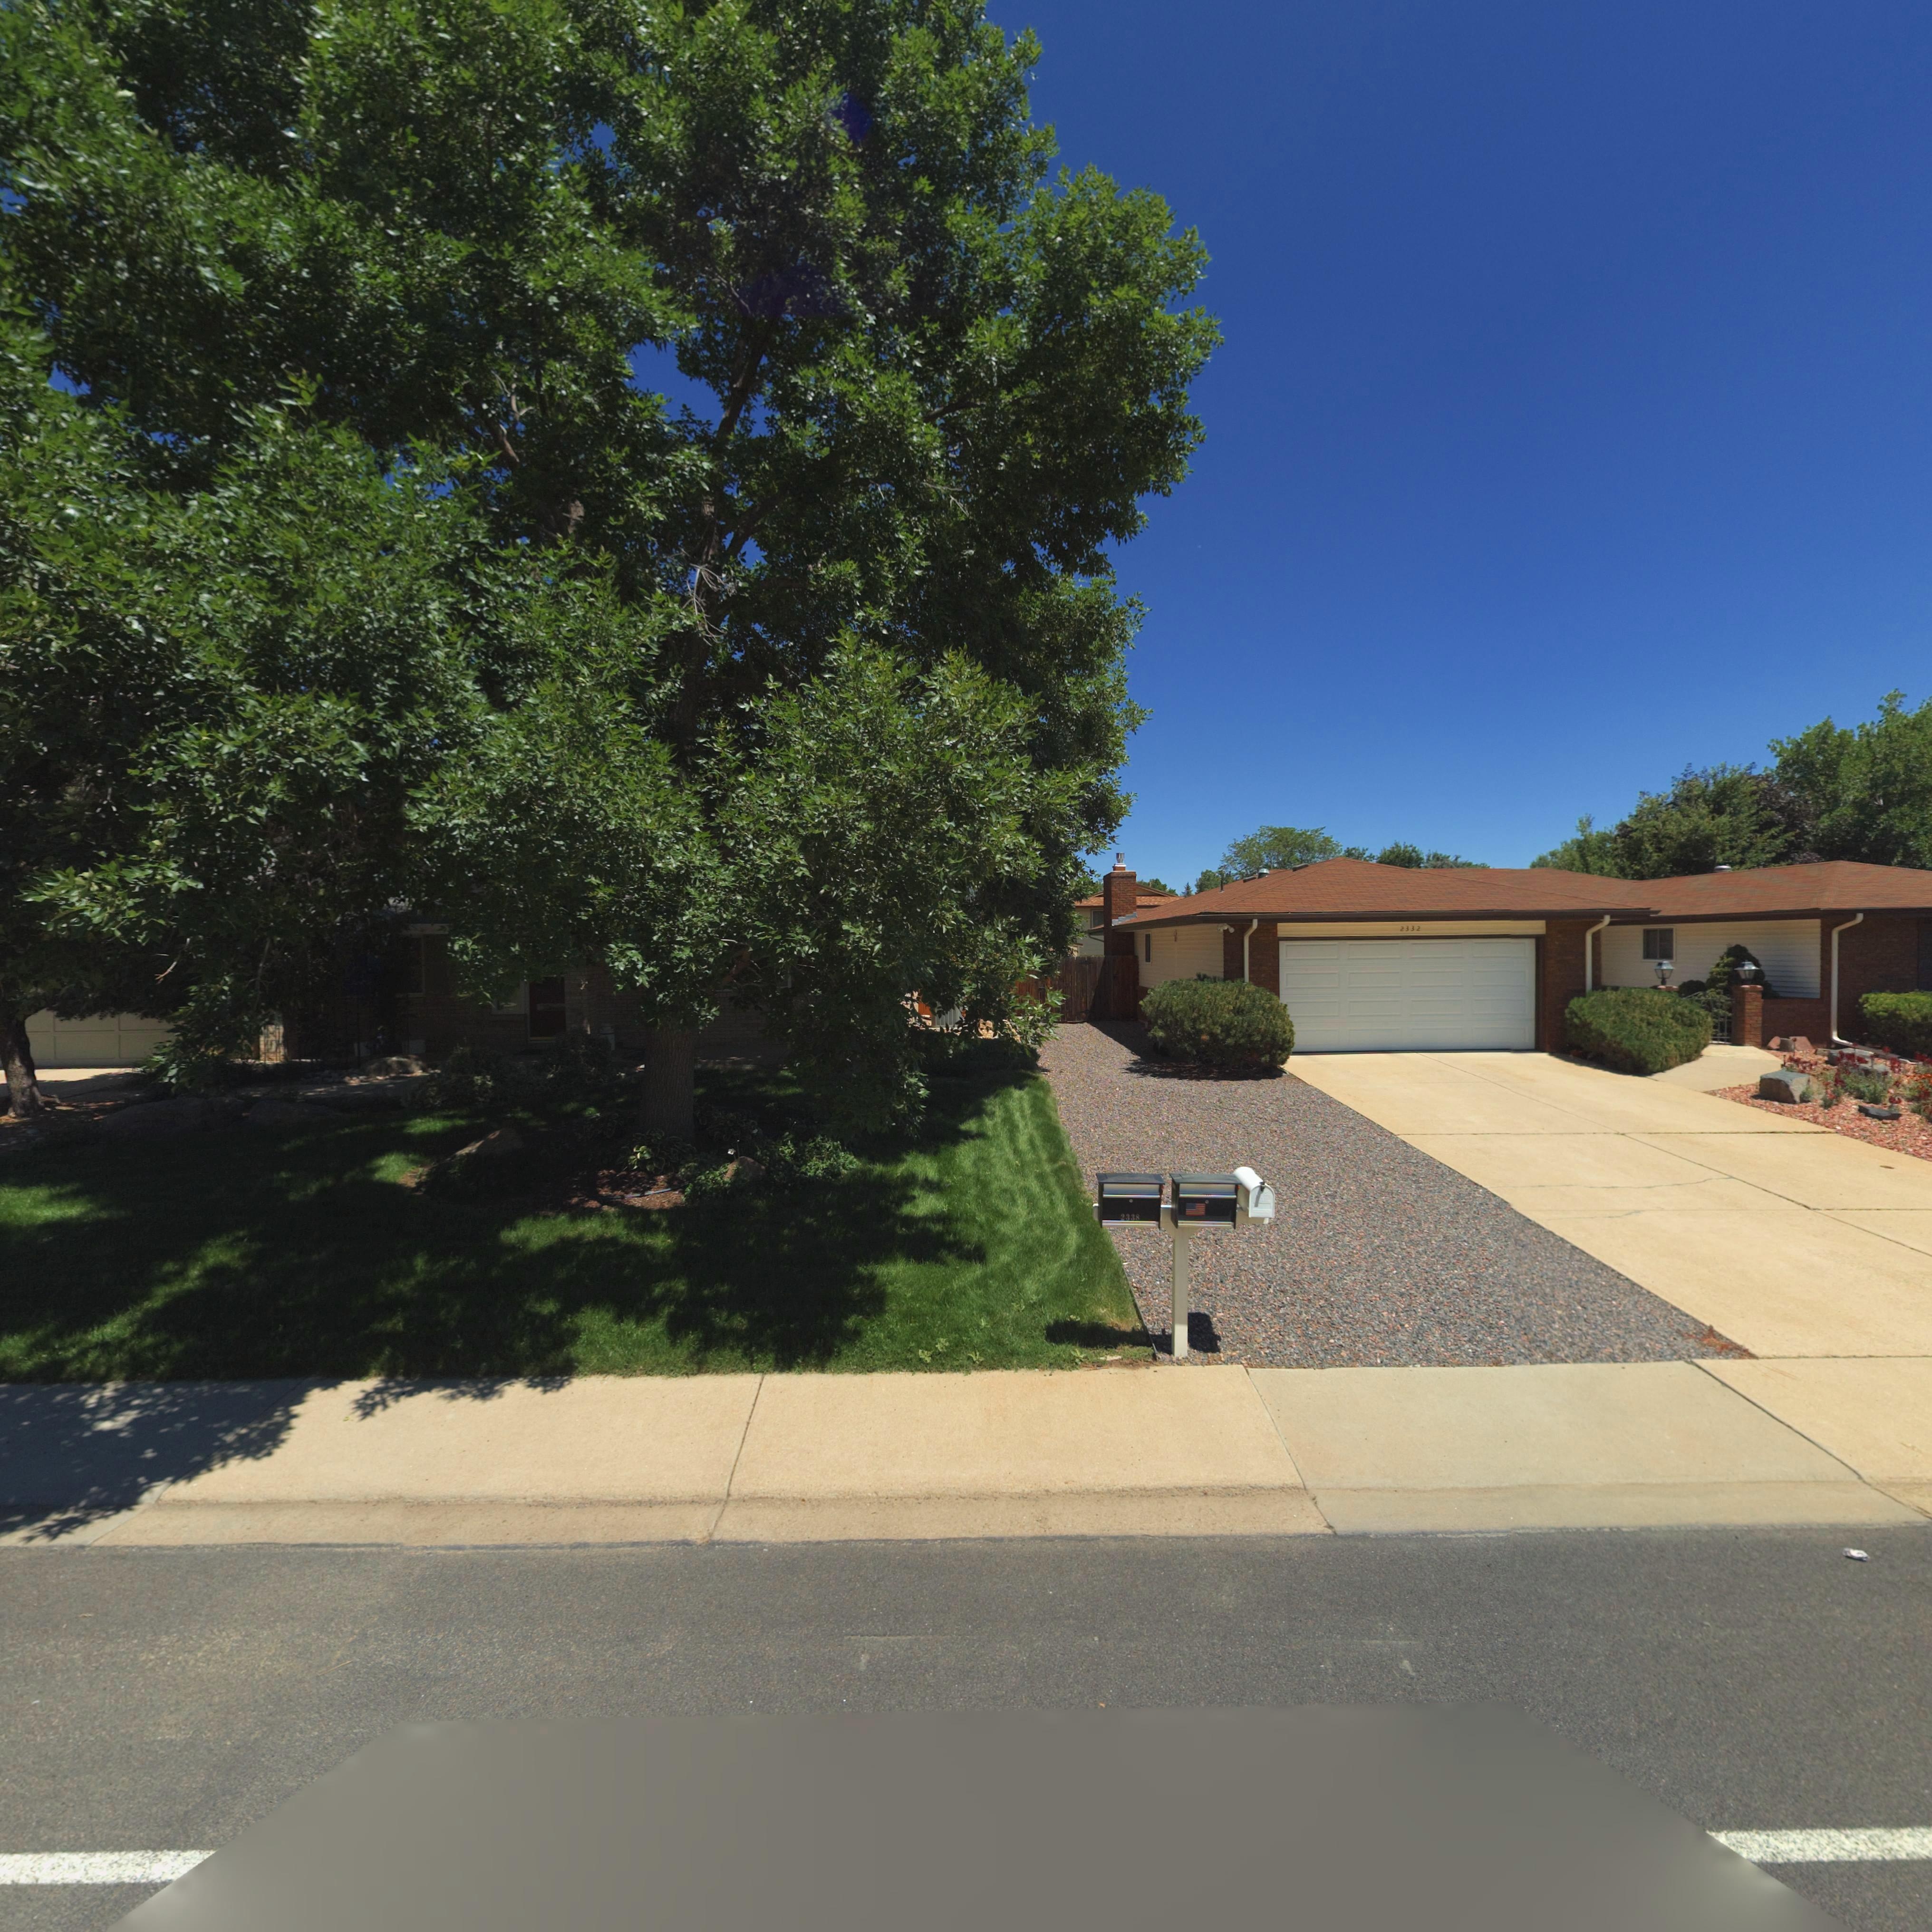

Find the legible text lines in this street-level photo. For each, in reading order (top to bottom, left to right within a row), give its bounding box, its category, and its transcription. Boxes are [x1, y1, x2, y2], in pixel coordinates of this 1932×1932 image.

[1400, 926, 1420, 931] StreetNumber: 2332
[1120, 1213, 1140, 1220] StreetNumber: 2338